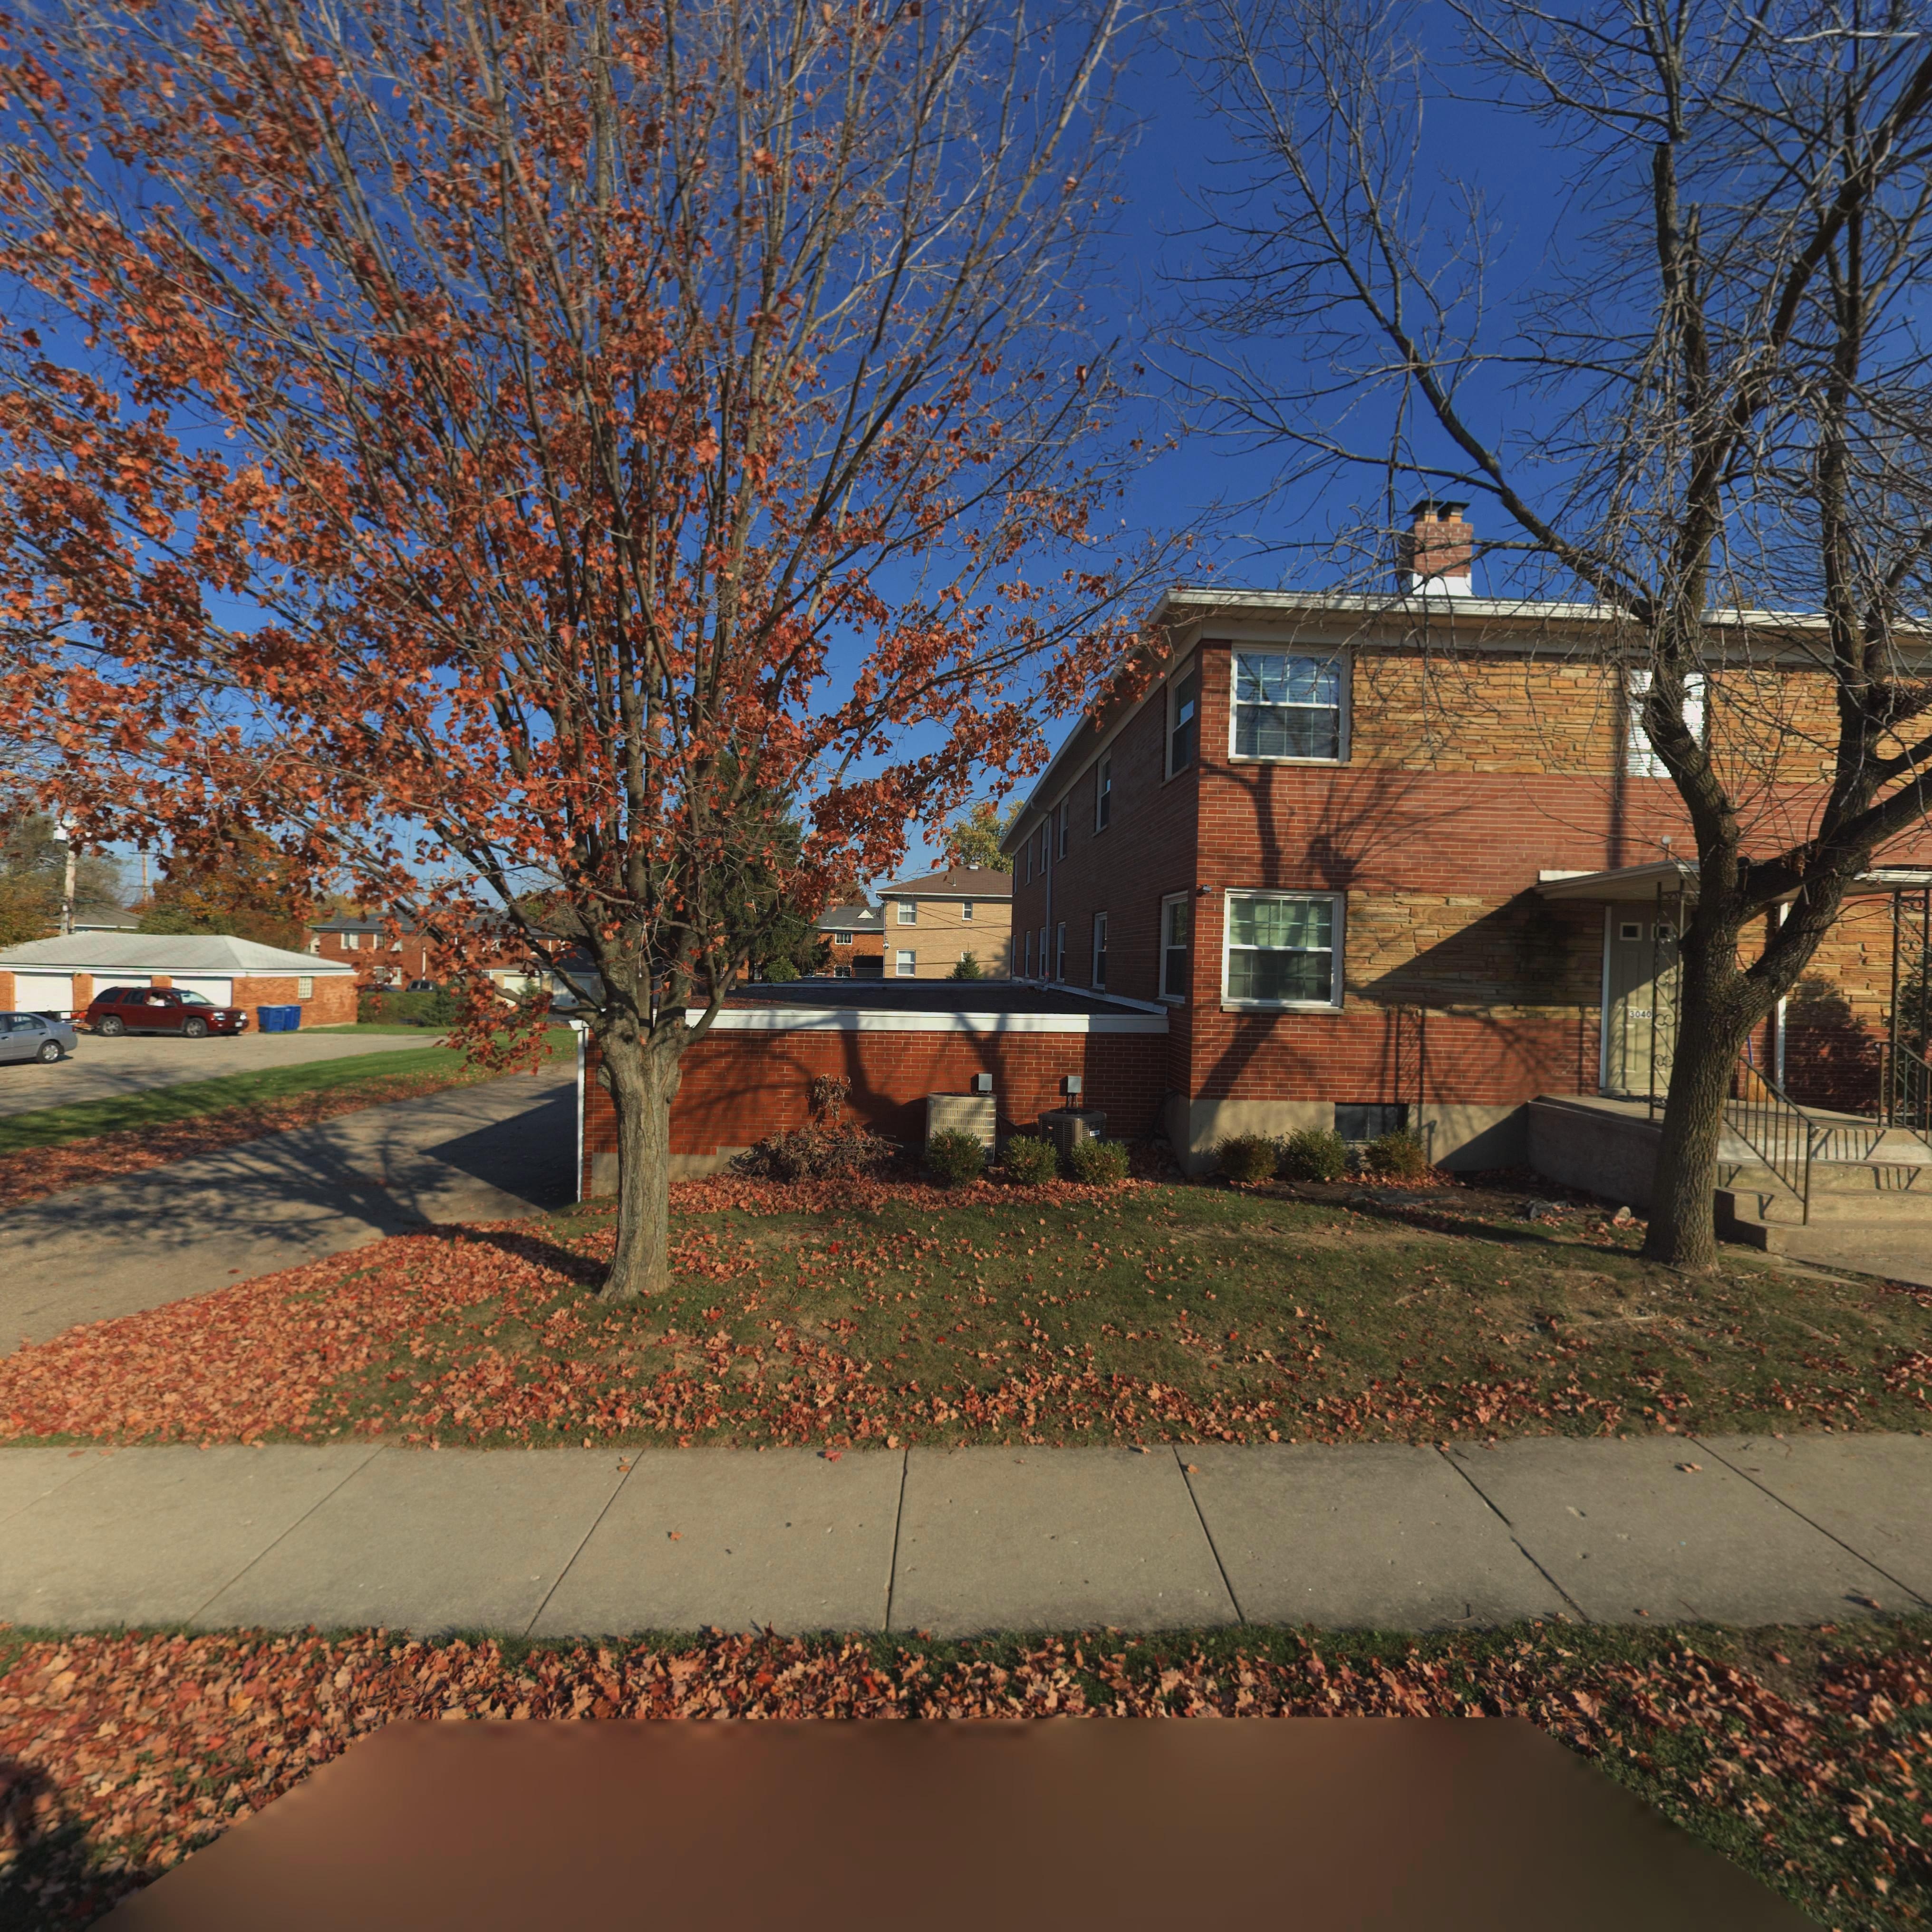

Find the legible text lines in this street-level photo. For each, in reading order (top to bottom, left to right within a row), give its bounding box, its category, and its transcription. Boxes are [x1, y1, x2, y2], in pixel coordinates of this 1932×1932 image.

[1629, 1010, 1652, 1019] StreetNumber: 3040